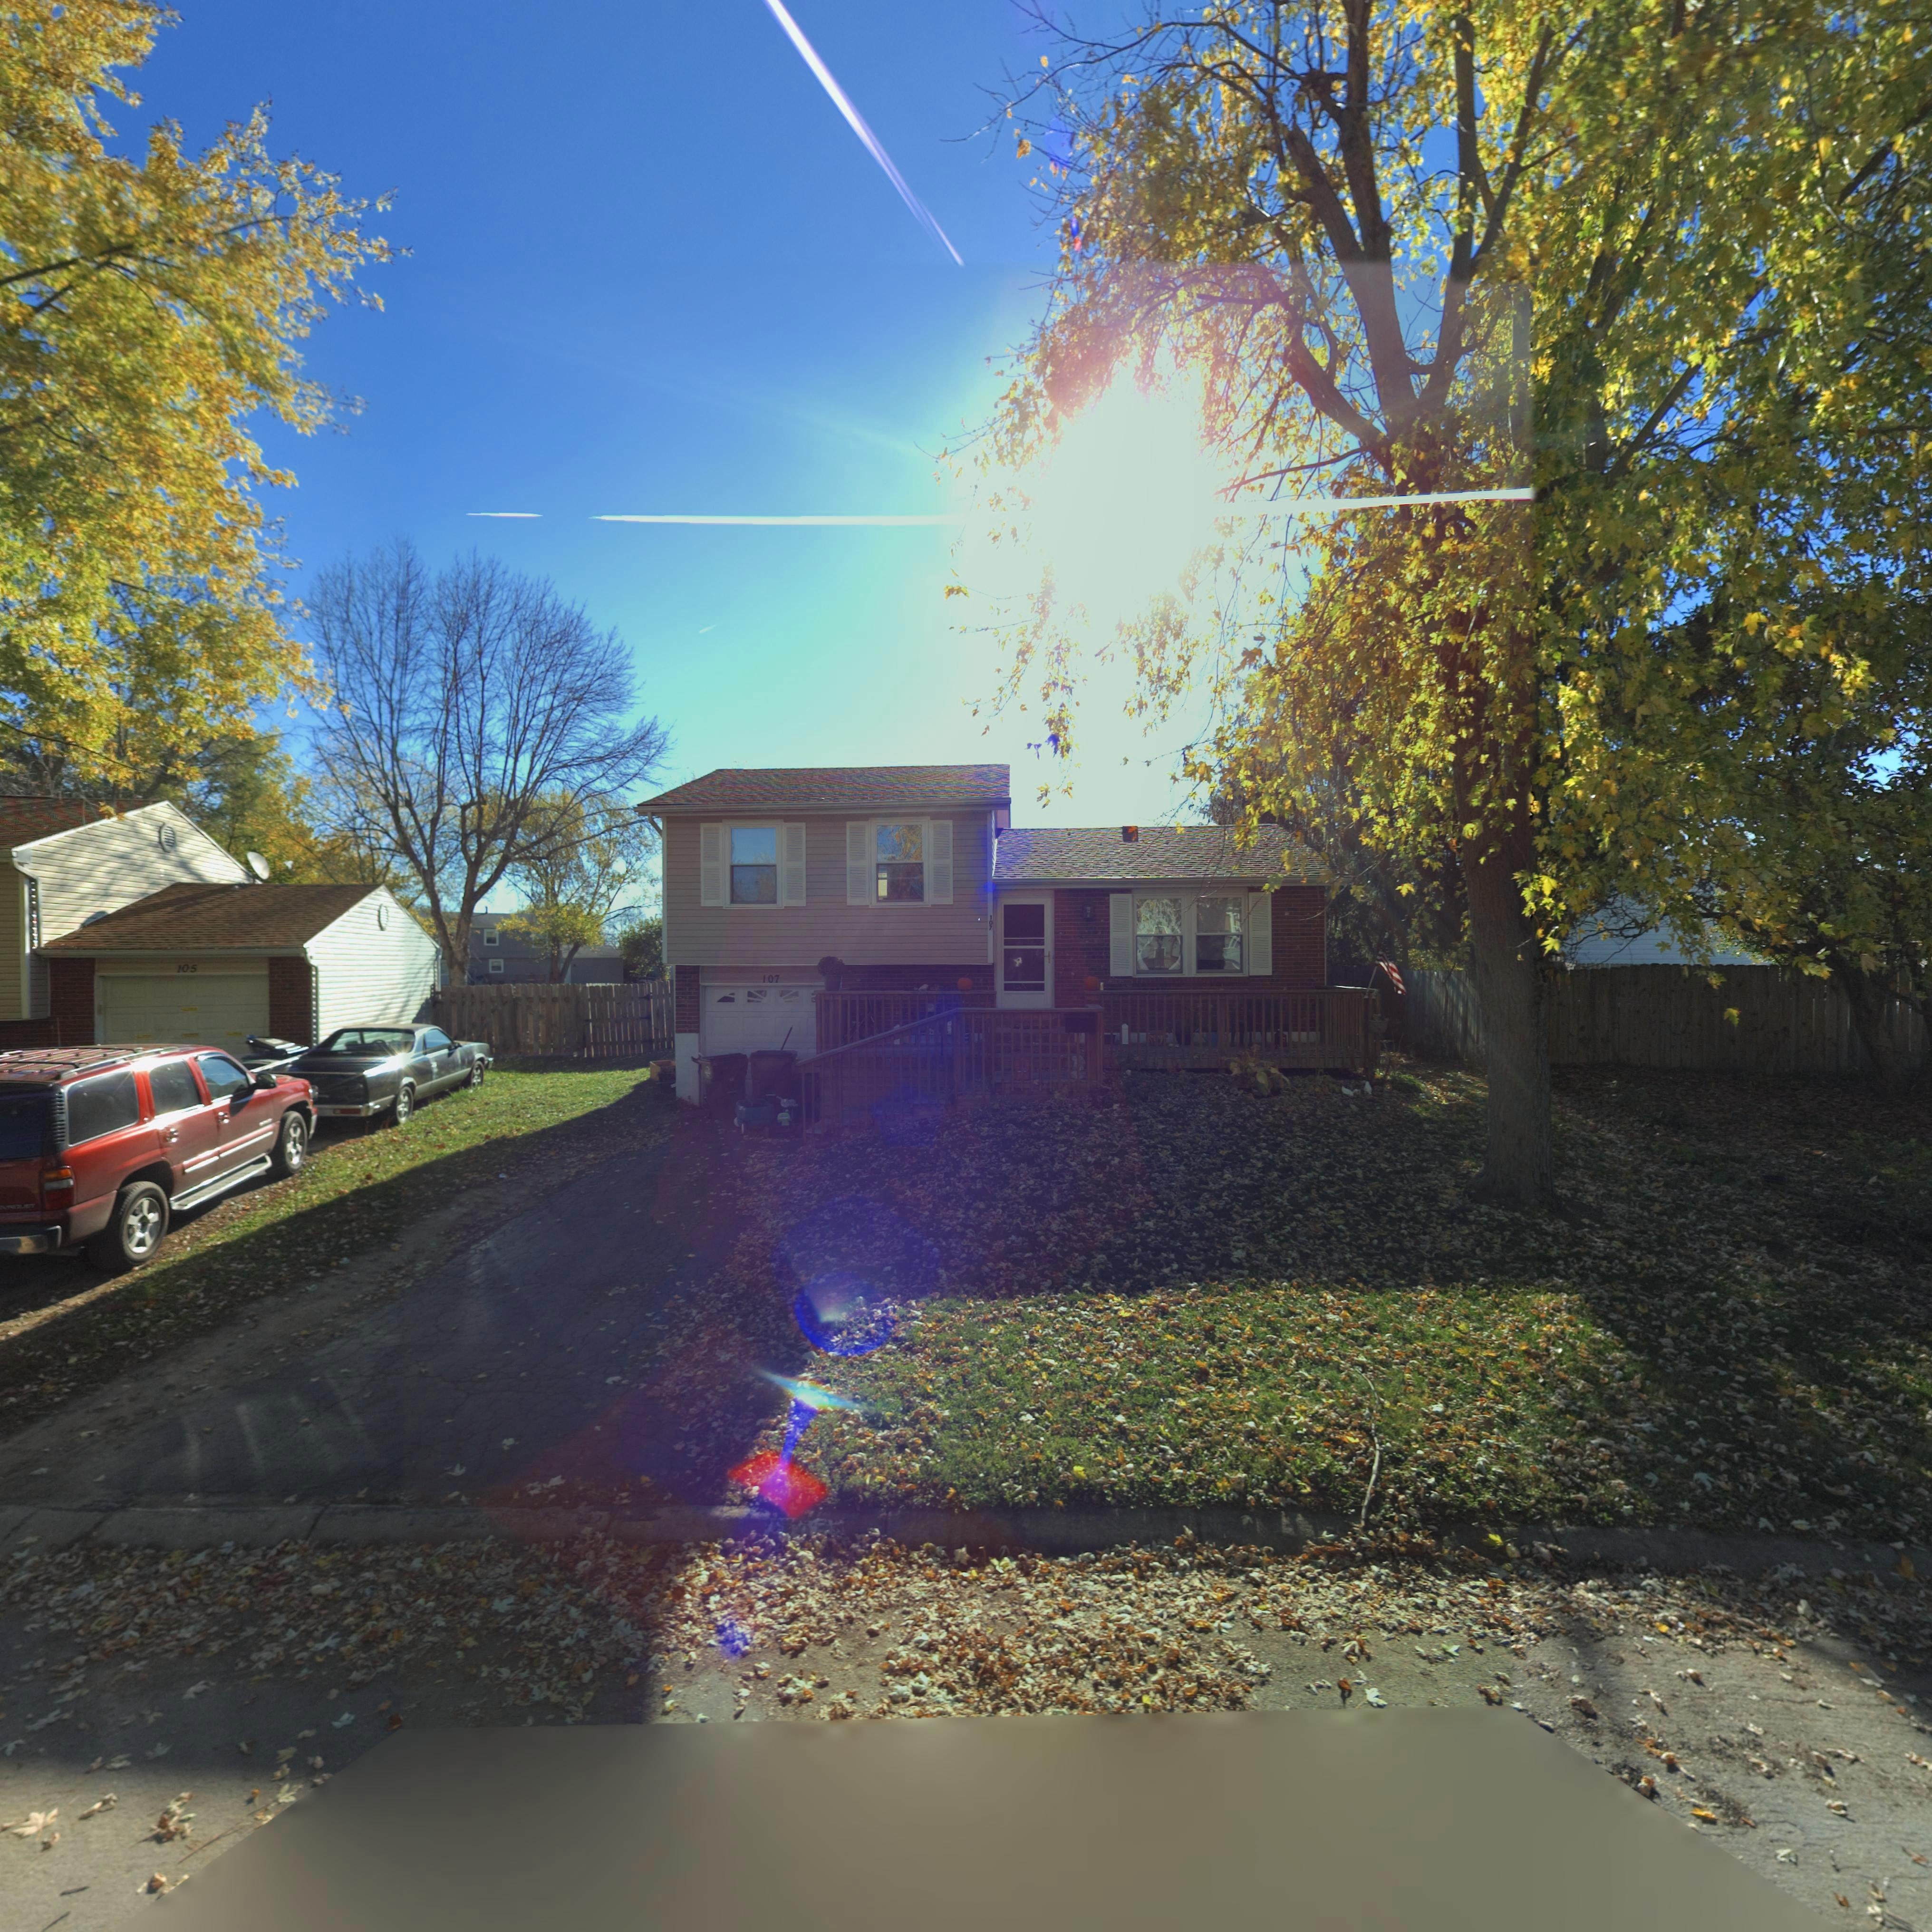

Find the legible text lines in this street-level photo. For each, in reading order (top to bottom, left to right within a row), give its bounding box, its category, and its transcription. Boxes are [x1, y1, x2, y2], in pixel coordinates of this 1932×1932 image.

[989, 915, 993, 930] StreetNumber: 107
[176, 964, 198, 973] StreetNumber: 105
[763, 974, 780, 983] StreetNumber: 107